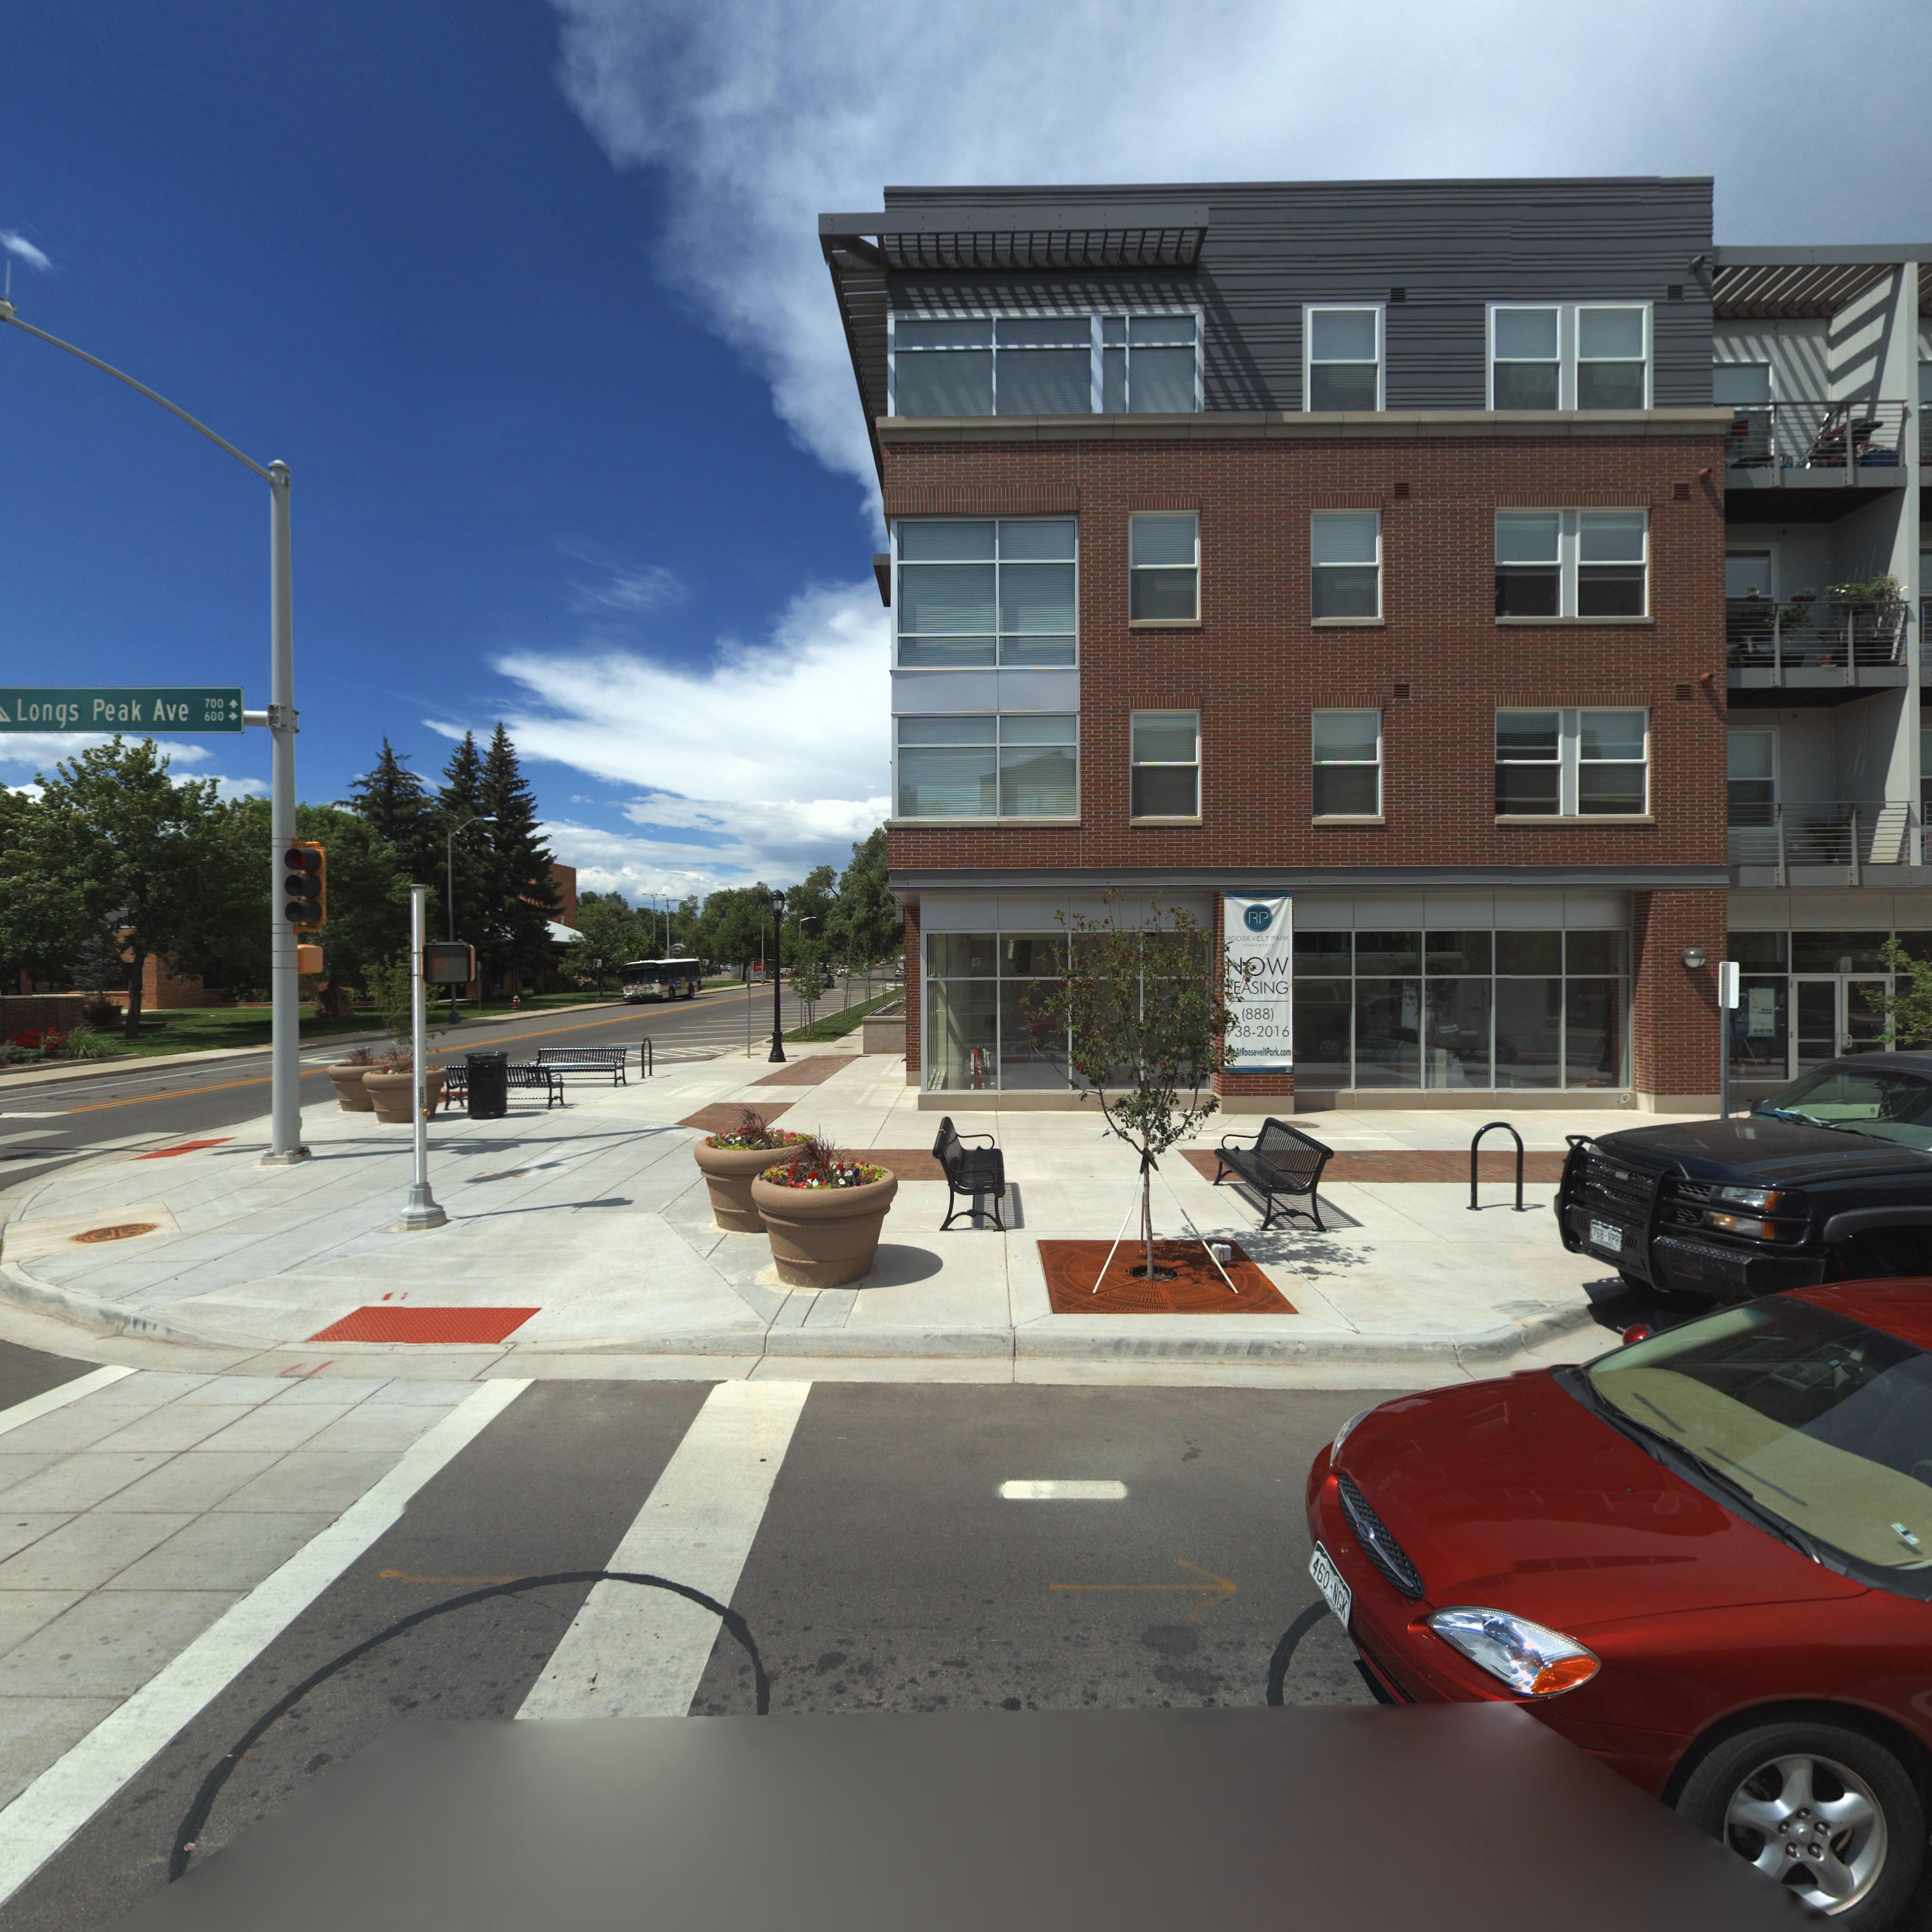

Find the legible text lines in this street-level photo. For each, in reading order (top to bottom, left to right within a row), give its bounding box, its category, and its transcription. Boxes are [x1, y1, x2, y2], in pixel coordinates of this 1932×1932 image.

[204, 697, 223, 708] StreetNumberRange: 700
[17, 697, 189, 729] StreetName: Longs Peak Ave
[203, 711, 239, 721] StreetNumberRange: 600 ->
[1226, 935, 1289, 941] BusinessName: ROOSEVELT PARK